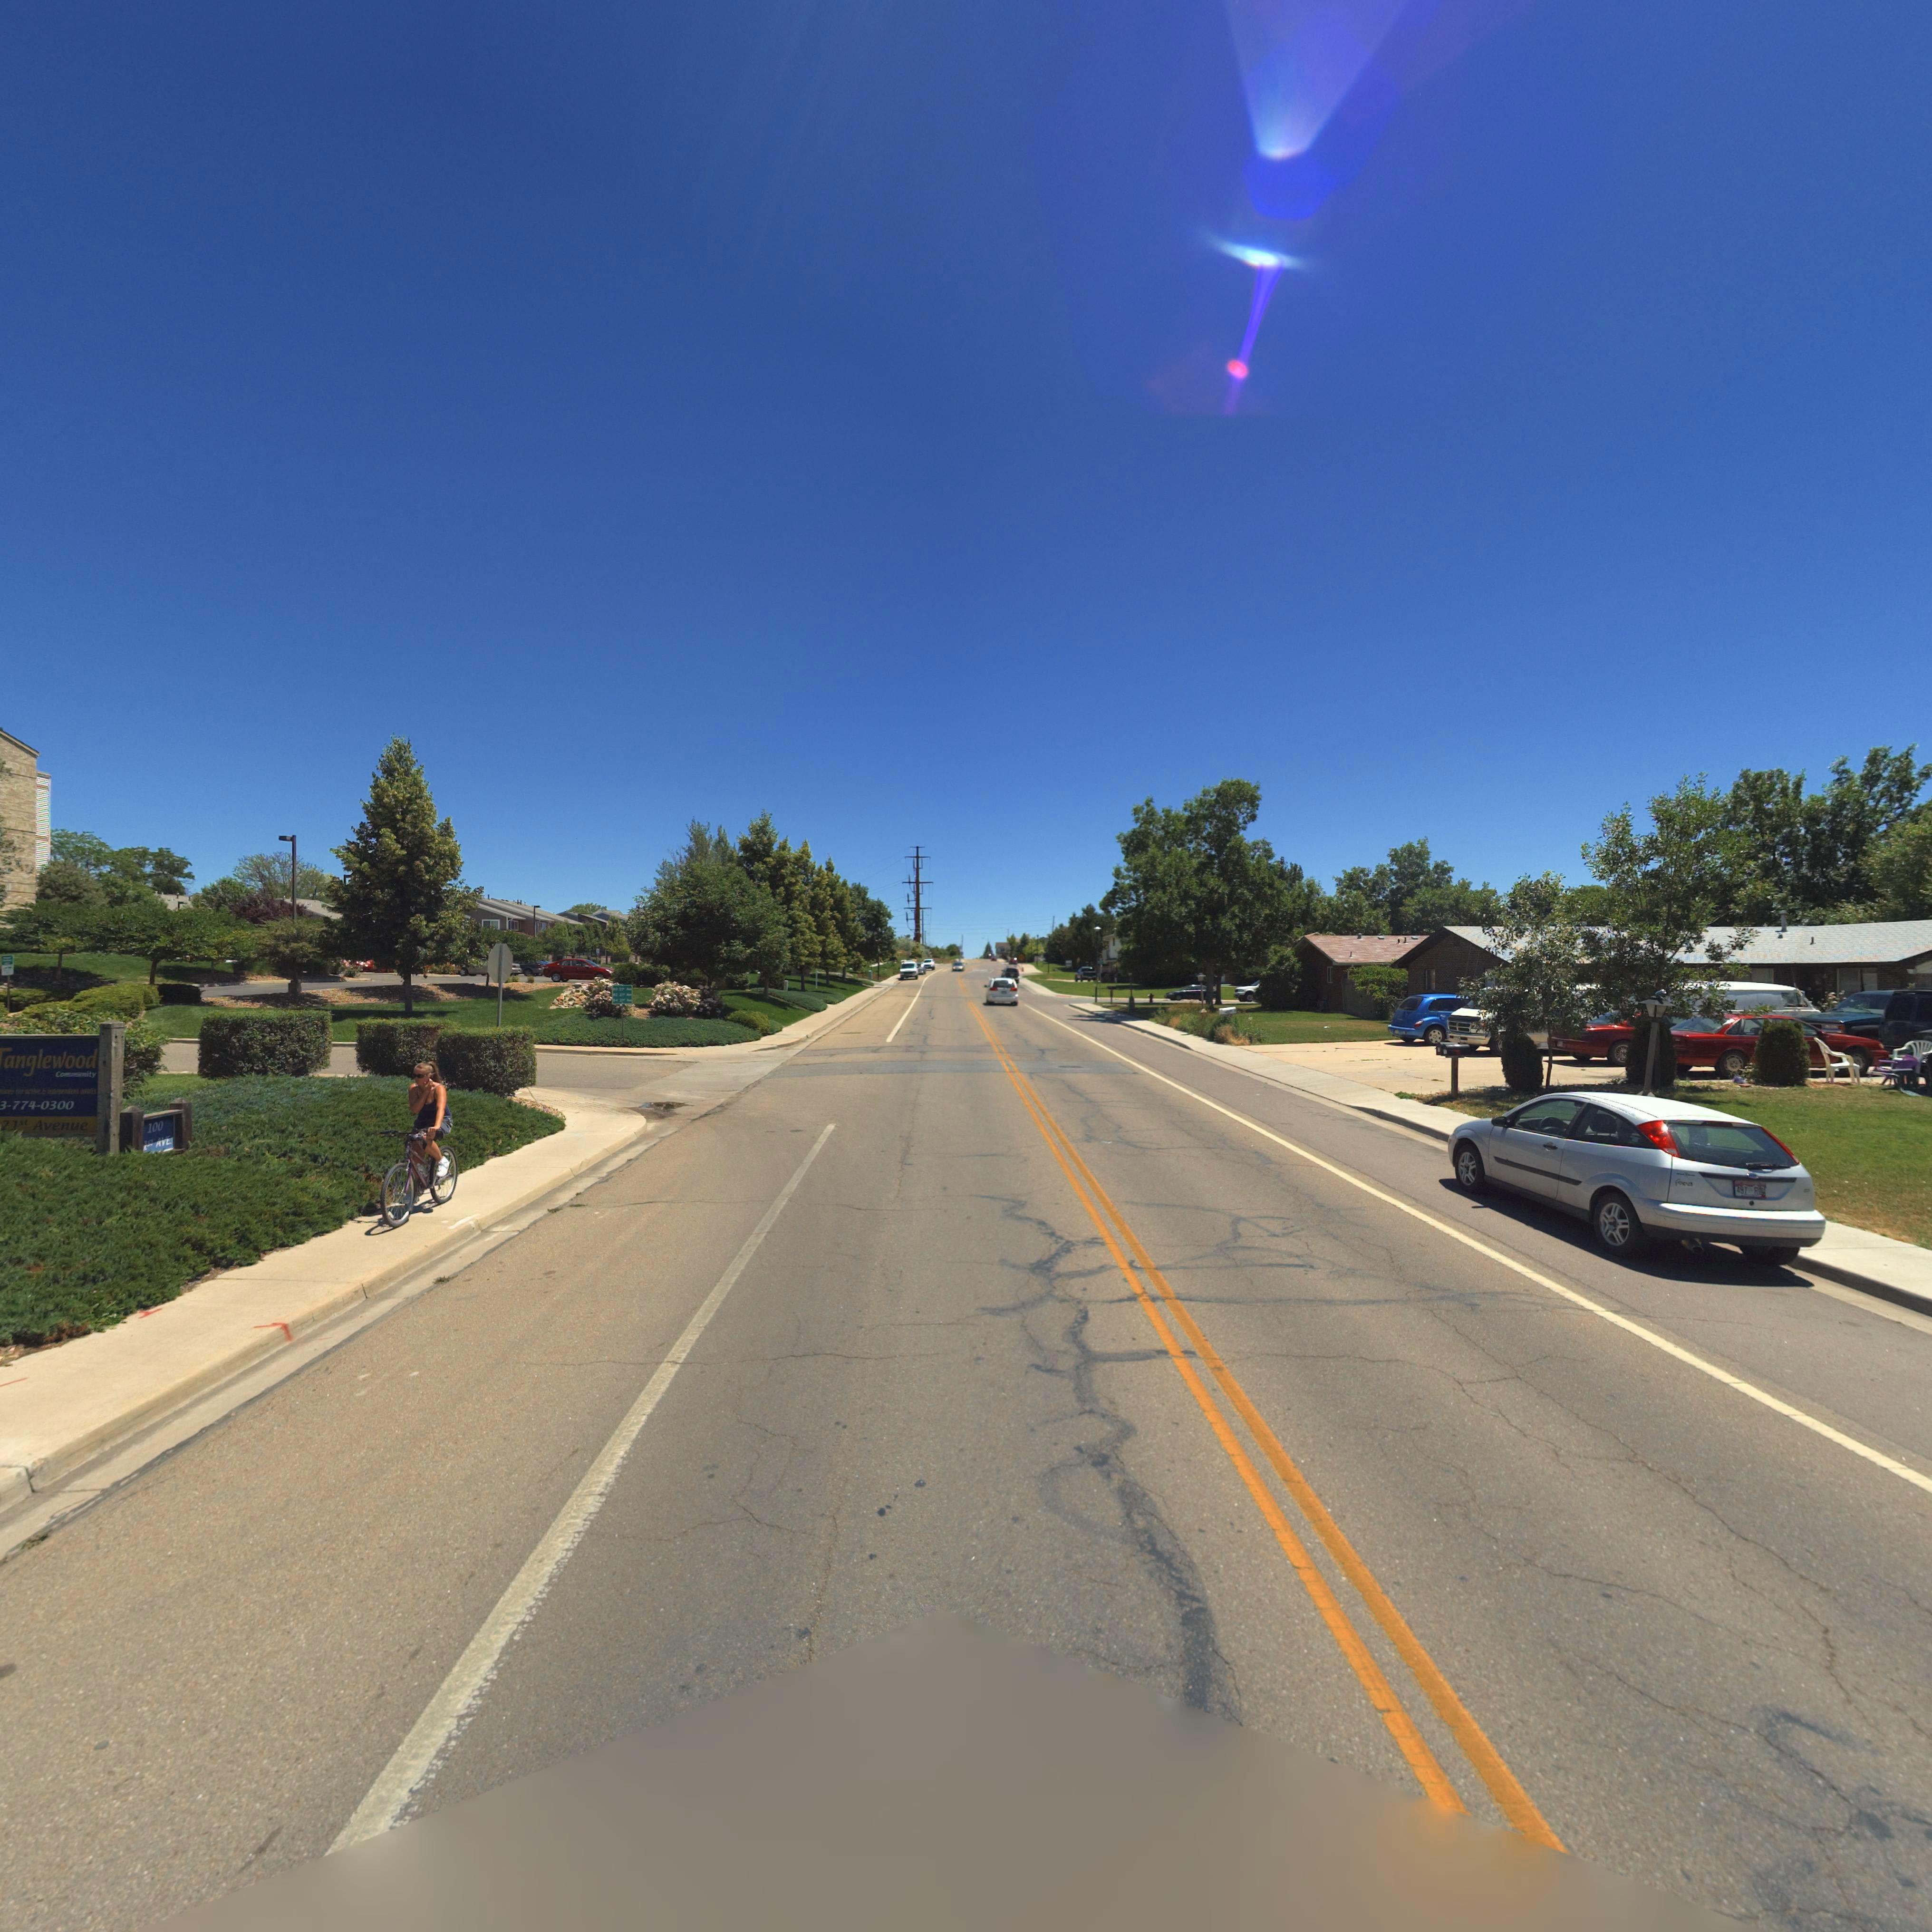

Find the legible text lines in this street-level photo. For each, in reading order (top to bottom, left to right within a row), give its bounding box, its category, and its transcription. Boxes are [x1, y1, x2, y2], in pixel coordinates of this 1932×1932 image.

[613, 987, 618, 990] StreetNumber: *0
[618, 987, 631, 991] StreetName: 2*** A**
[612, 993, 618, 996] StreetNumber: *2
[619, 993, 632, 996] StreetName: 2*** A**
[612, 998, 618, 1002] StreetNumber: *4
[619, 998, 632, 1002] StreetName: 2*** A**
[0, 1118, 89, 1131] StreetName: 21st Avenue
[146, 1120, 164, 1134] StreetNumber: 100
[143, 1134, 172, 1151] StreetName: 1st AVE.